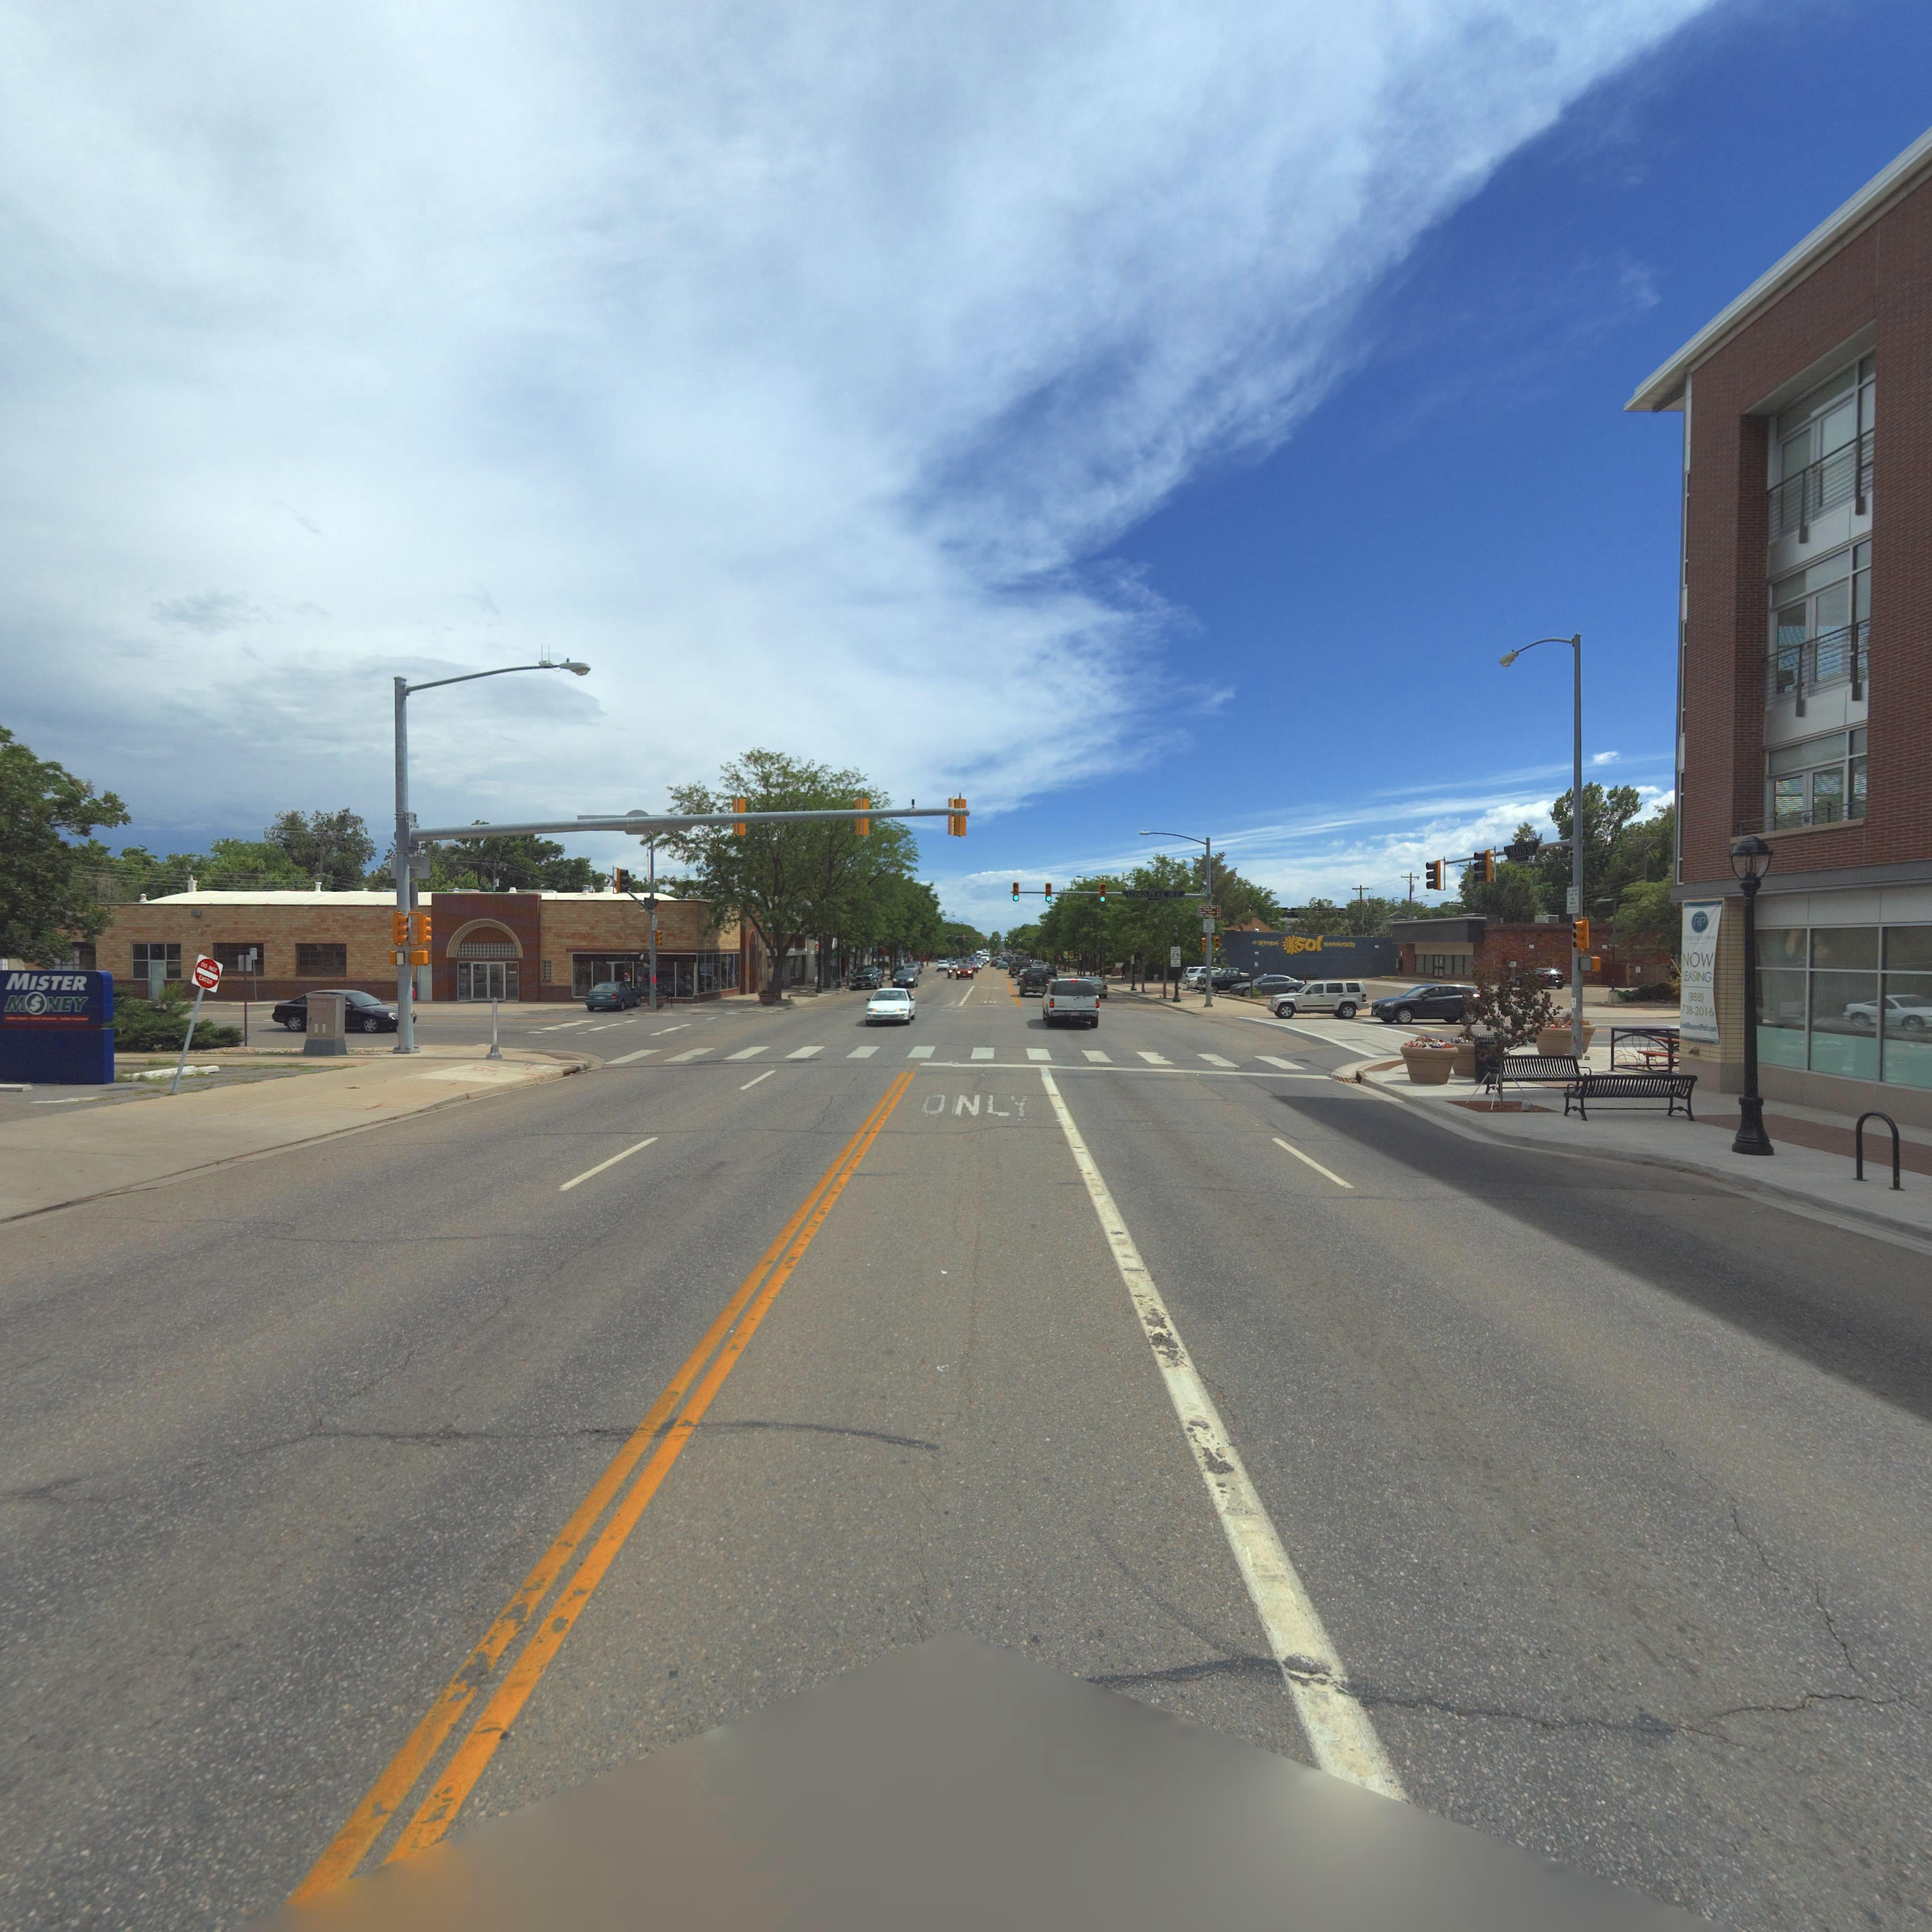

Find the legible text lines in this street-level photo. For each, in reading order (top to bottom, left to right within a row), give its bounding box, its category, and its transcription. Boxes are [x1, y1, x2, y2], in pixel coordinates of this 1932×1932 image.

[1509, 842, 1534, 858] StreetName: MAIN ST
[1127, 891, 1180, 898] StreetName: LONGS PEAK AVE
[645, 898, 657, 906] StreetName: MA*N S*
[1293, 935, 1324, 953] BusinessName: sol
[1323, 940, 1356, 947] BusinessName: skateboards
[5, 973, 87, 991] BusinessName: MISTER
[3, 995, 90, 1012] BusinessName: M*NEY